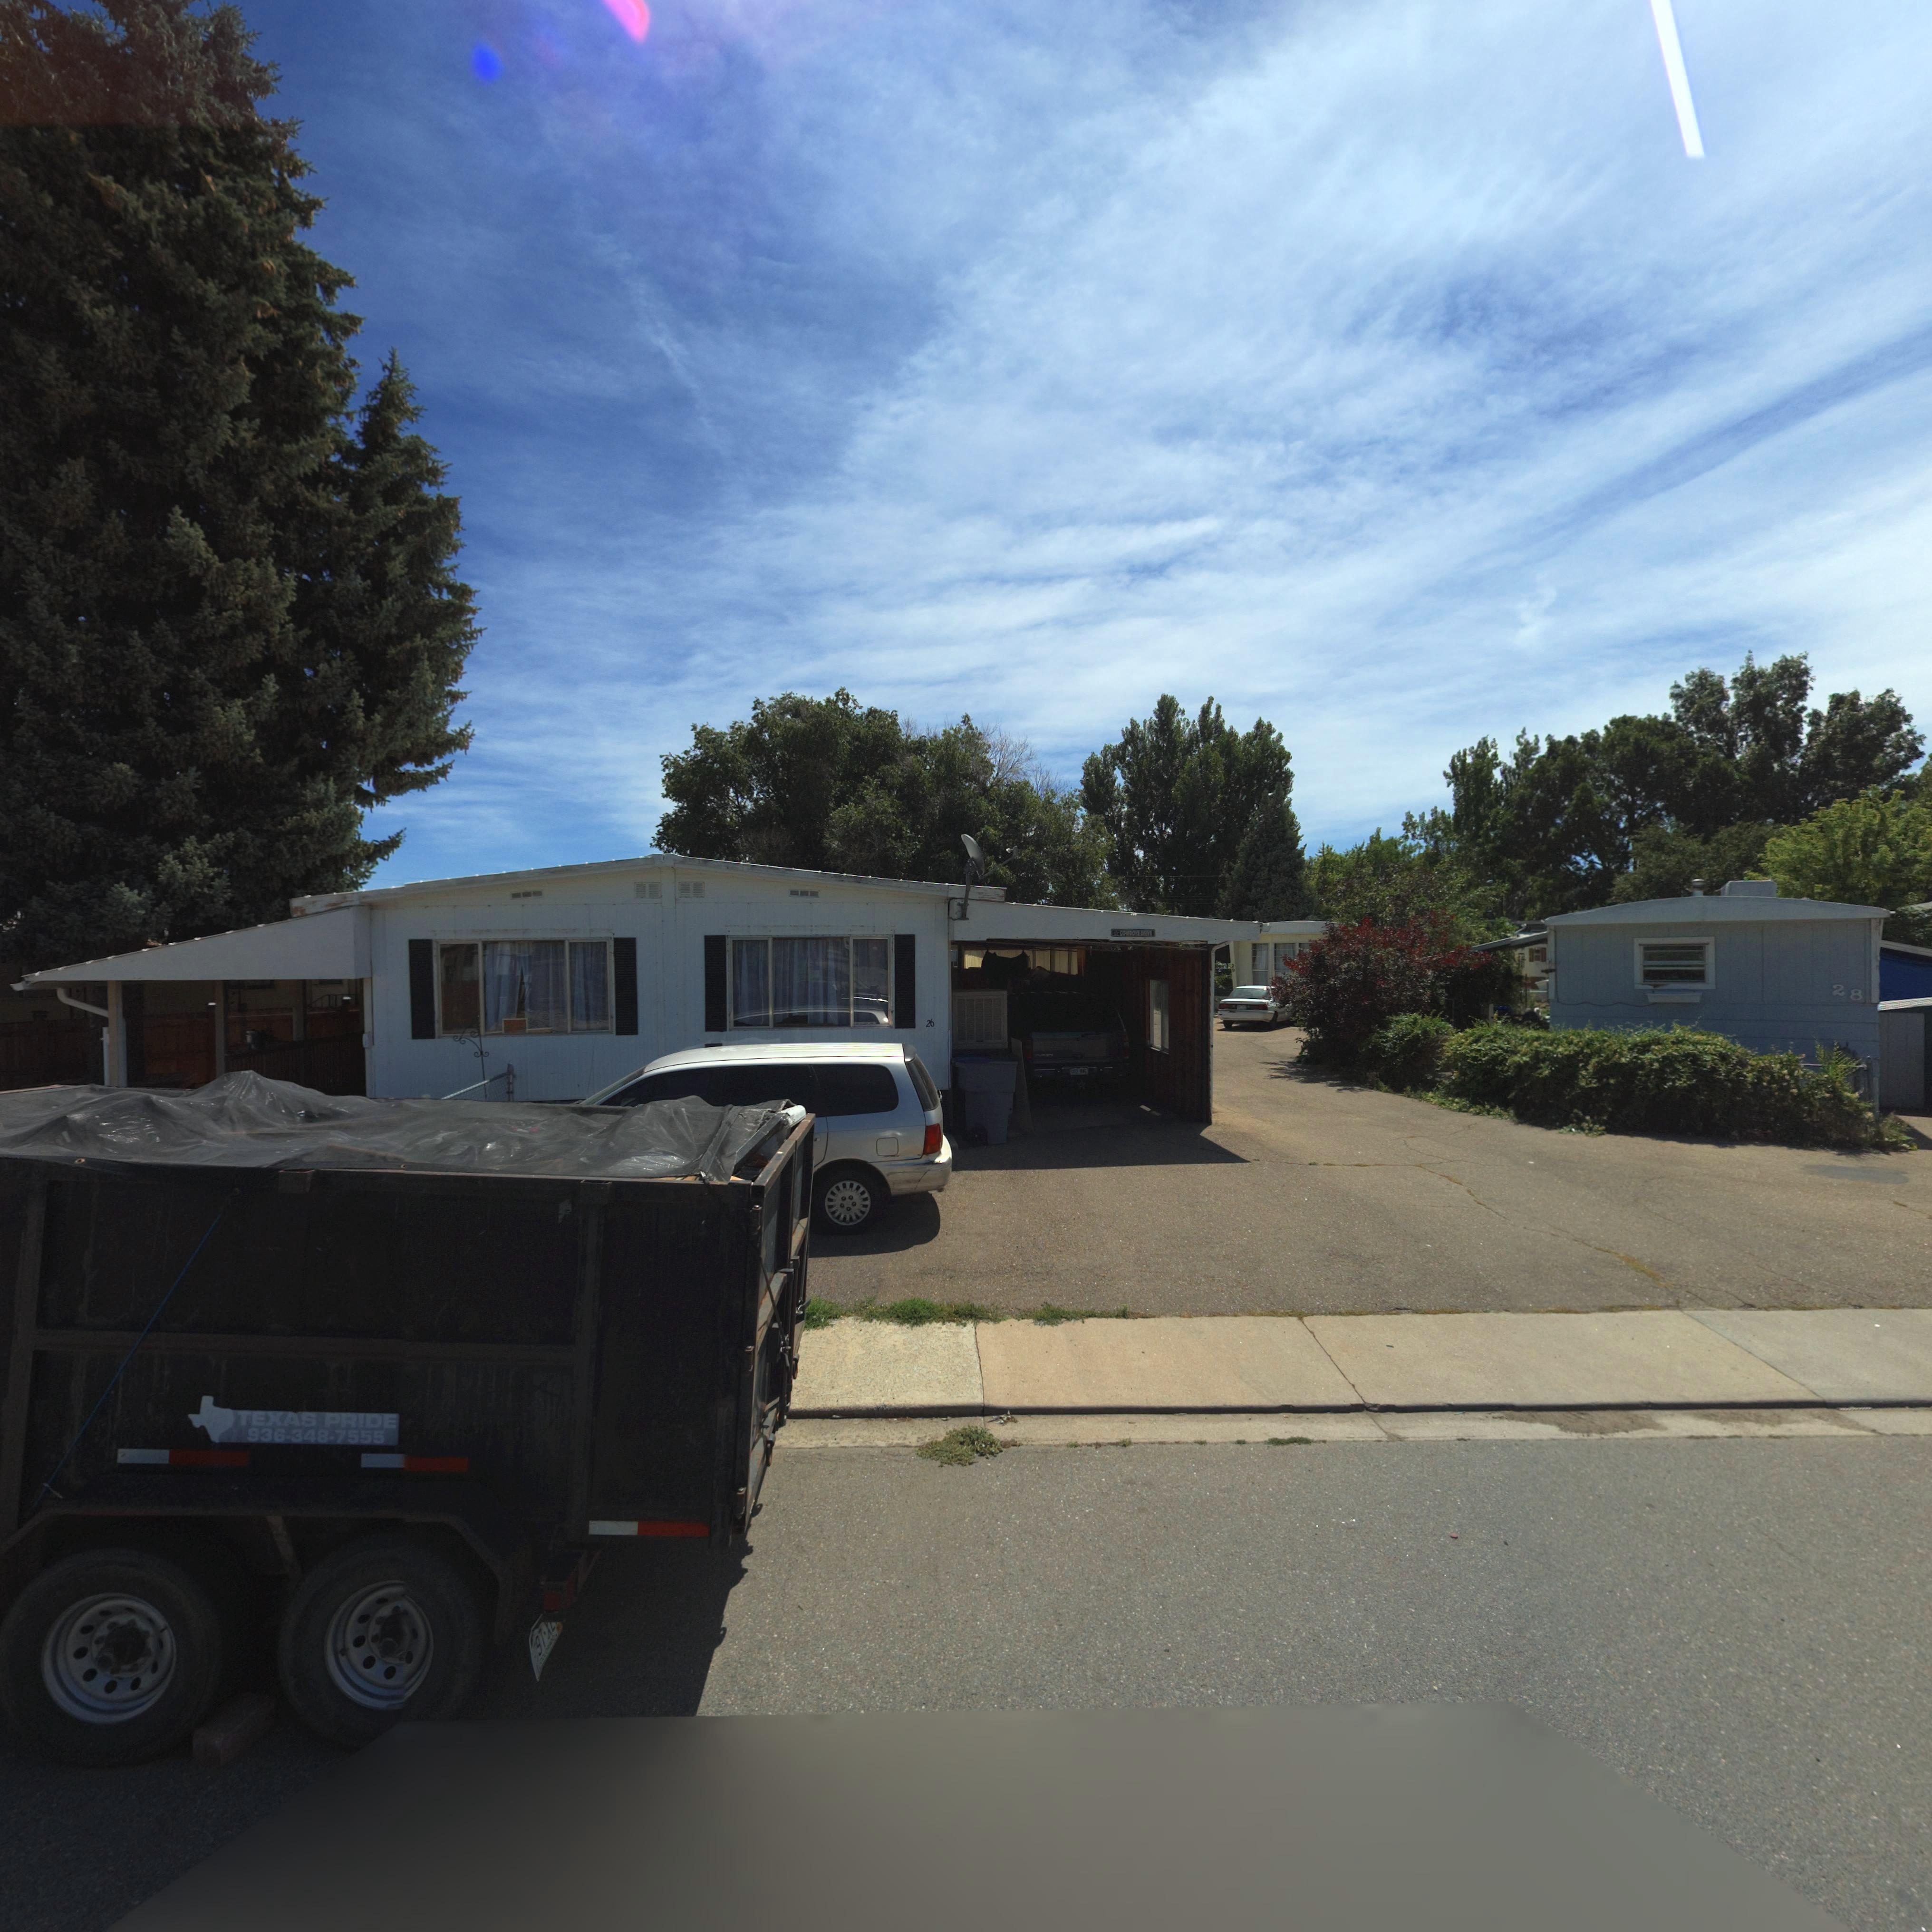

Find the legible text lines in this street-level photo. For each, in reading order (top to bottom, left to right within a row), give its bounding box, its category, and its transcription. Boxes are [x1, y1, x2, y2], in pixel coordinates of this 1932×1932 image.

[1231, 963, 1235, 972] StreetNumber: 29
[1831, 984, 1863, 1001] StreetNumber: 28
[925, 1018, 935, 1028] StreetNumber: 26